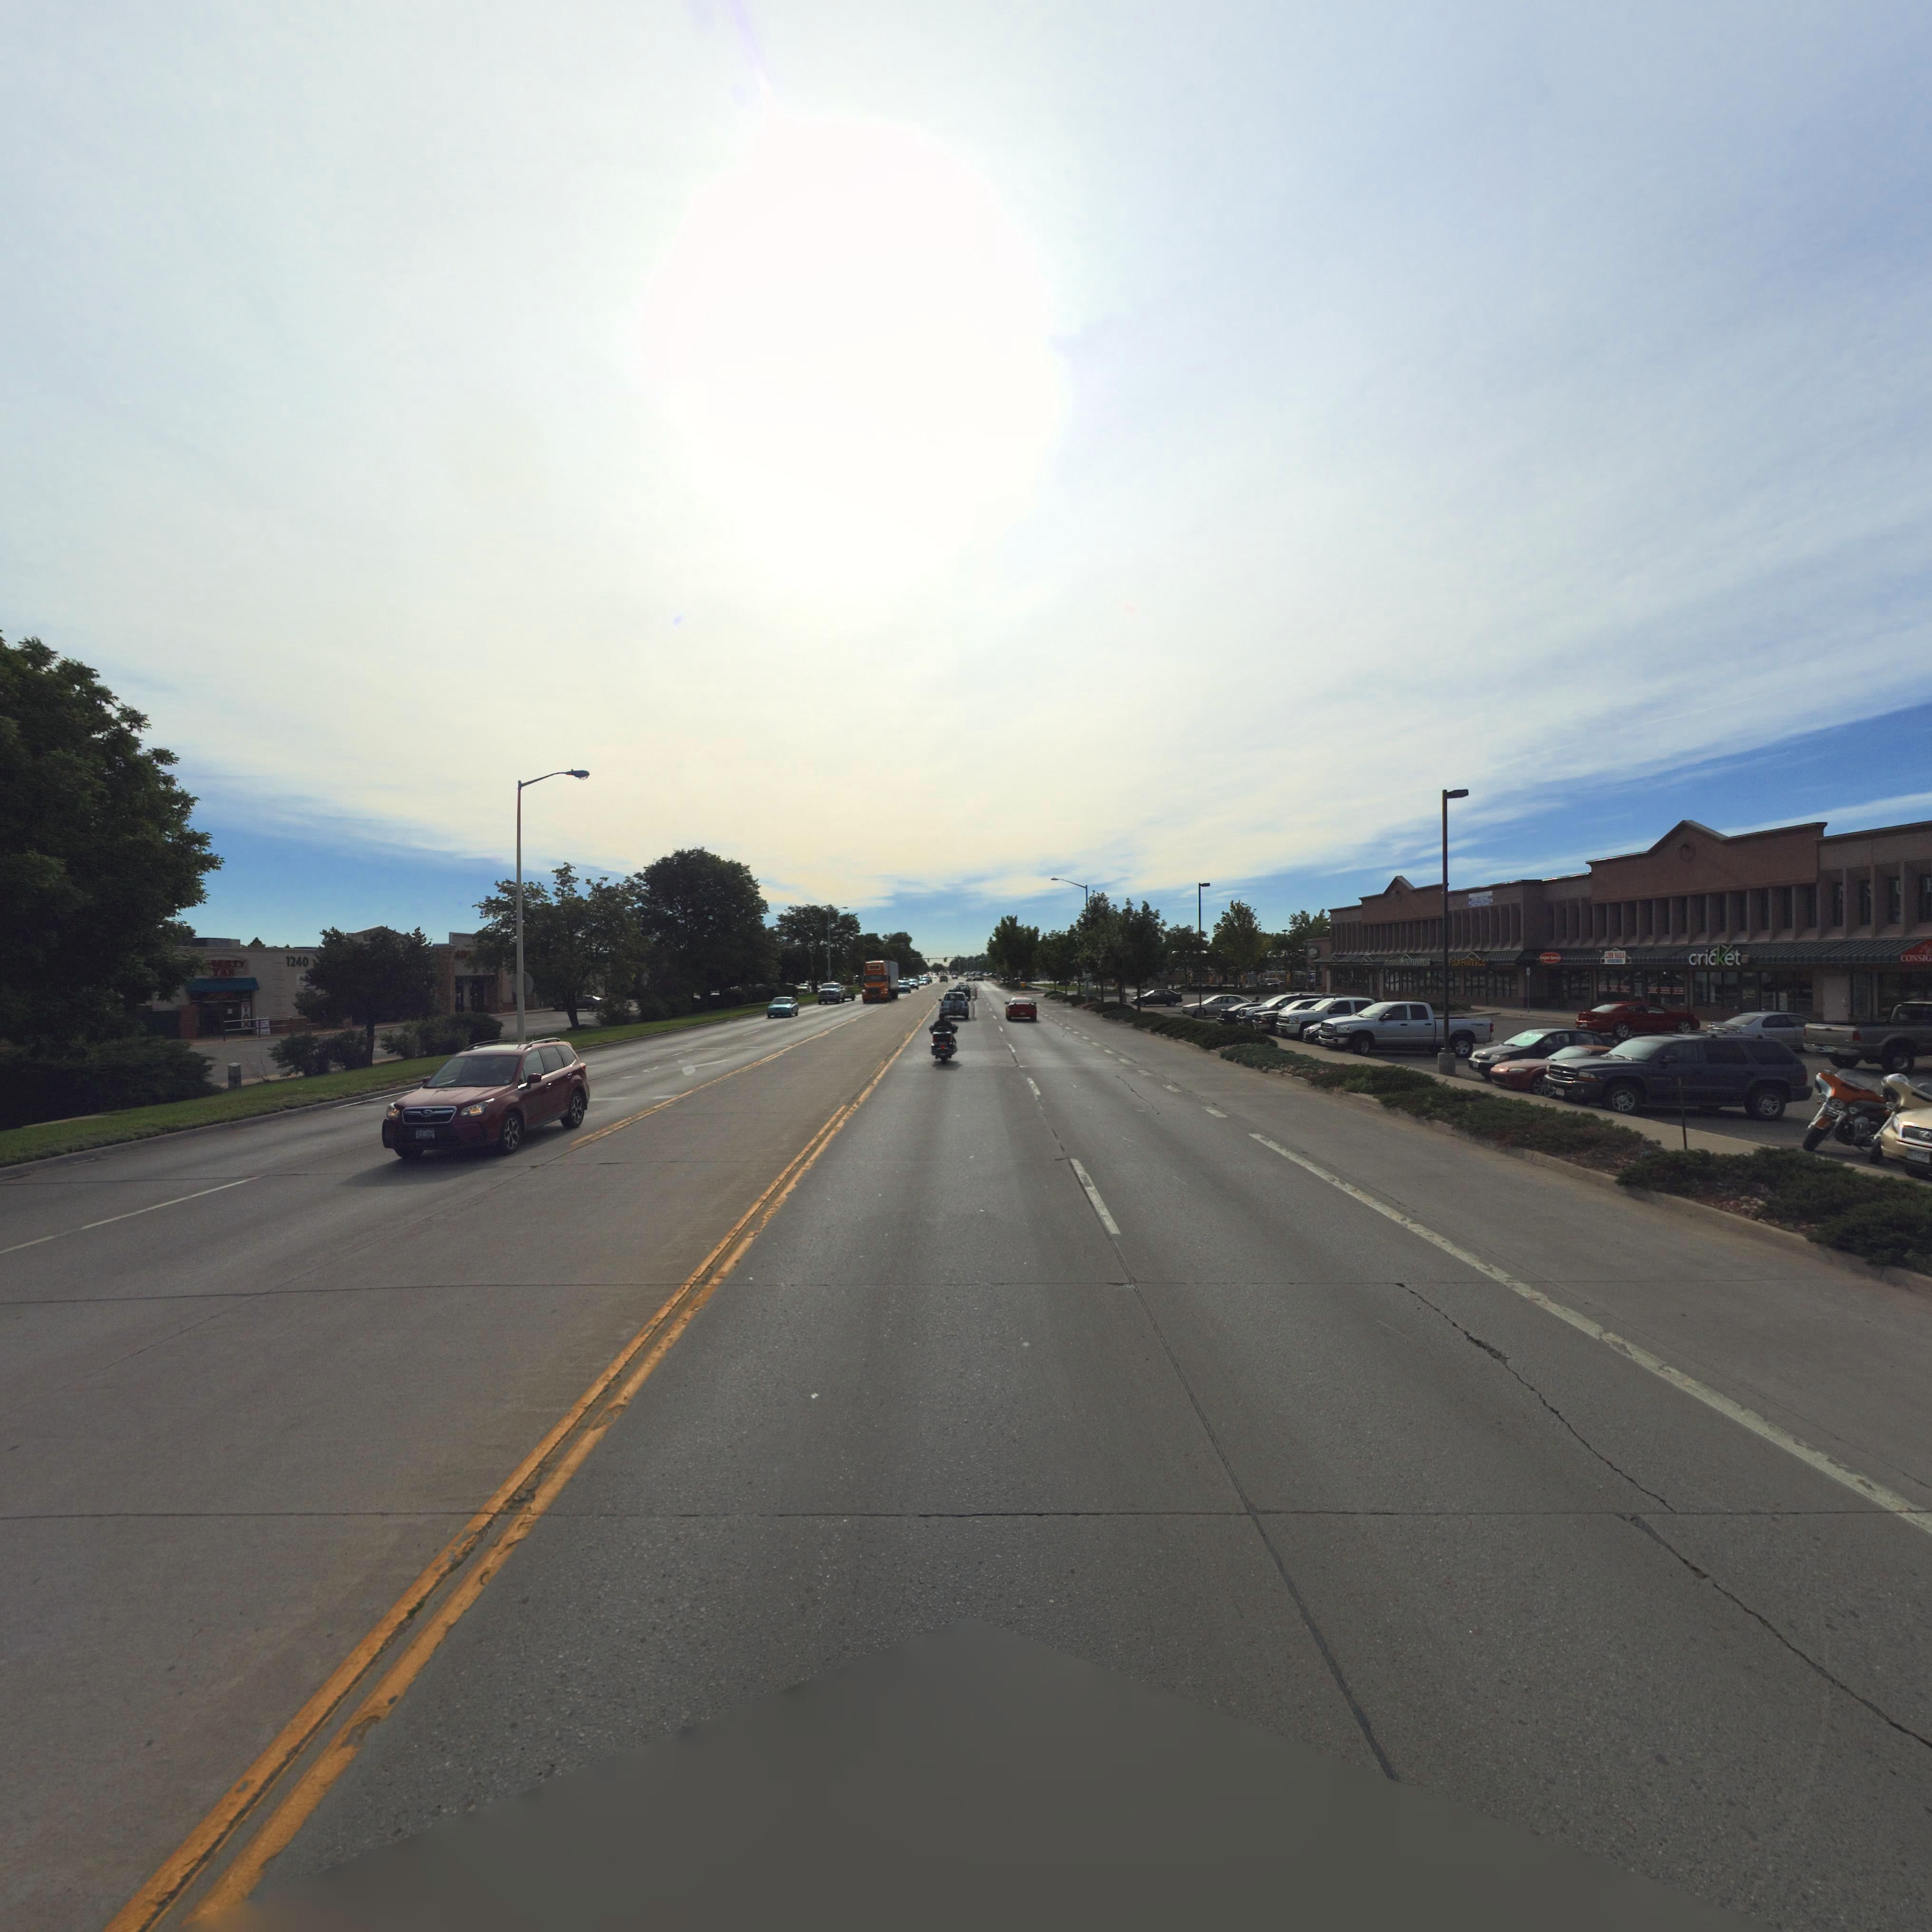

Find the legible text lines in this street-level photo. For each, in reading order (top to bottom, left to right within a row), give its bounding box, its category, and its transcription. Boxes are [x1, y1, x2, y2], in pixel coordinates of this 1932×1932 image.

[285, 956, 309, 967] StreetNumber: 1240
[1447, 957, 1486, 966] BusinessName: FOUR PAWS&CO
[1604, 951, 1625, 959] BusinessName: L*S* *AILS
[1688, 949, 1742, 966] BusinessName: cricket
[1900, 954, 1926, 962] BusinessName: CONSI